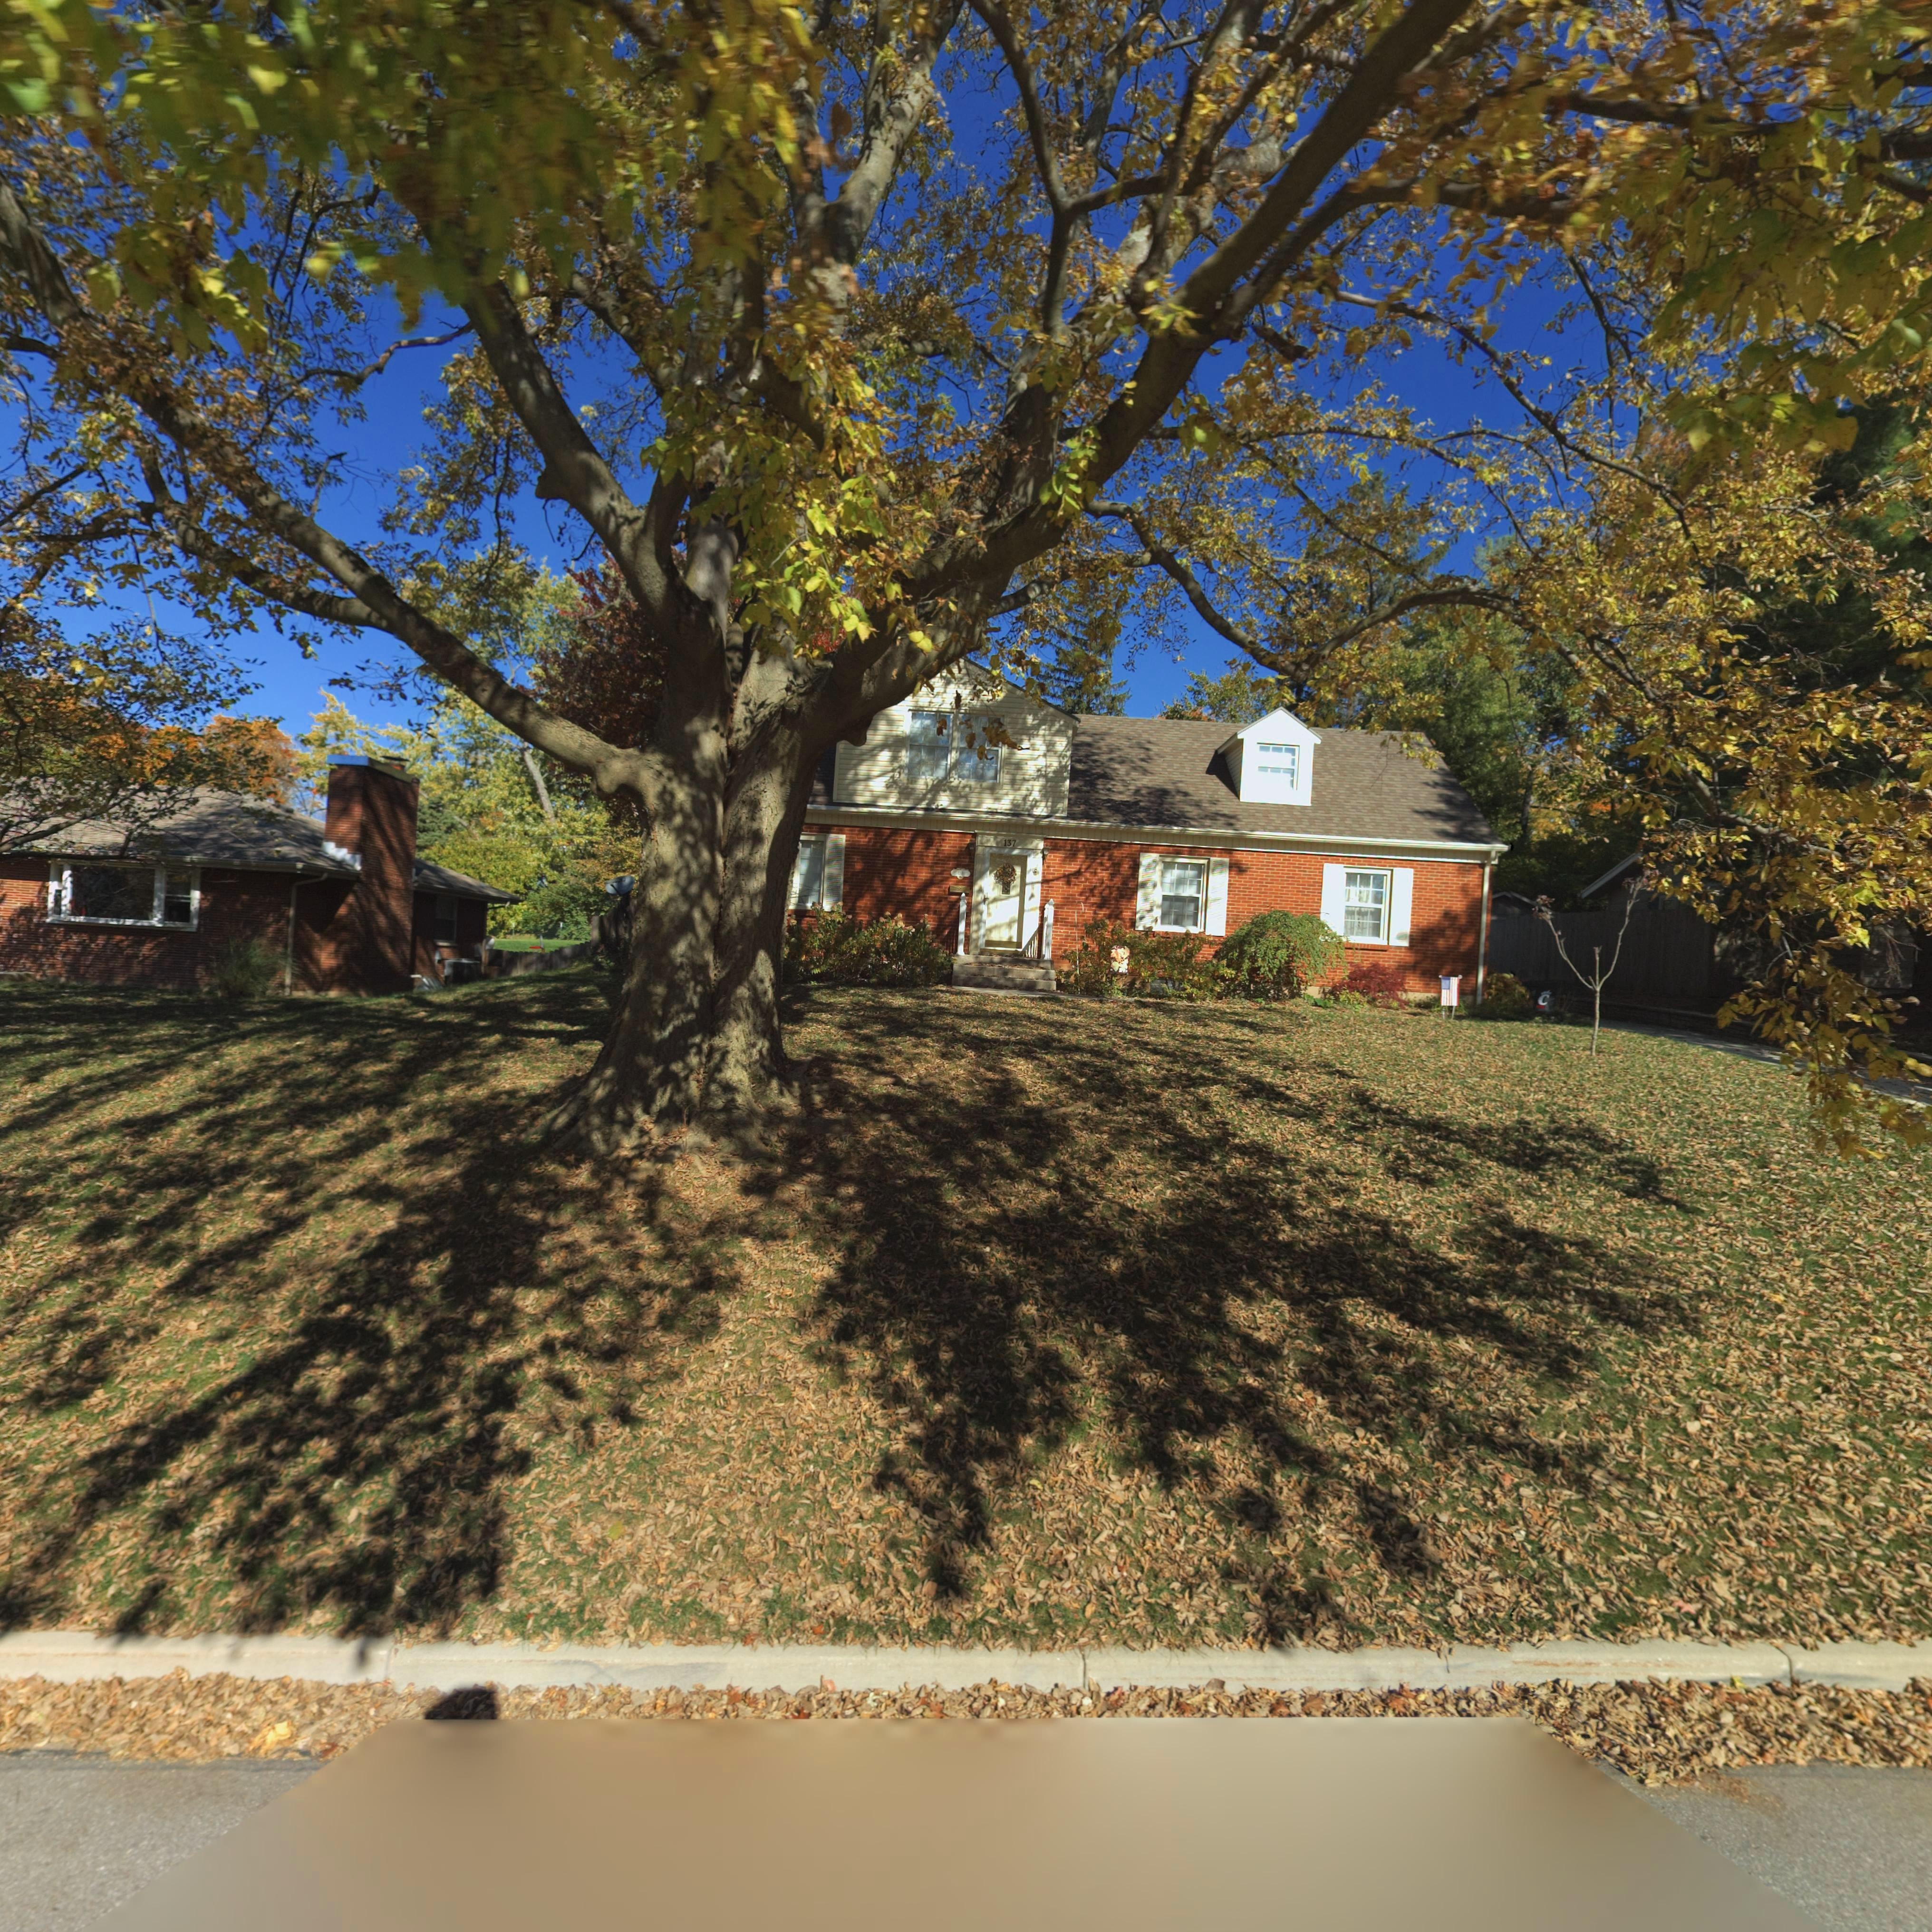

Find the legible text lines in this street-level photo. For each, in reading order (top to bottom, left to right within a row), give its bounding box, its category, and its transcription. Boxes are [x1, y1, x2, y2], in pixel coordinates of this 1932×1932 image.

[1004, 839, 1017, 847] StreetNumber: 137